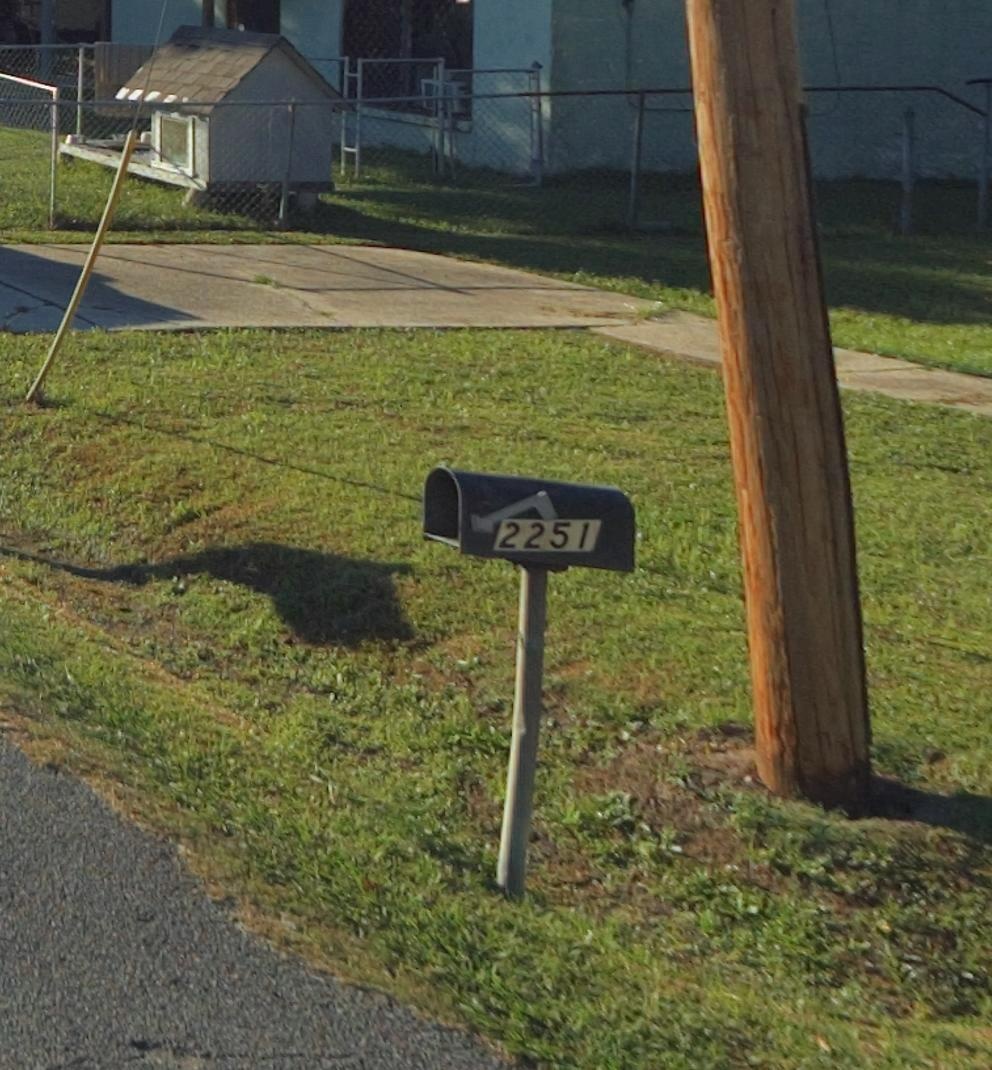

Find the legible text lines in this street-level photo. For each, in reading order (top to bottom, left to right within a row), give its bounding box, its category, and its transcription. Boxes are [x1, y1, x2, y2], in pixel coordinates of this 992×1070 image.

[495, 520, 592, 550] StreetNumber: 2251